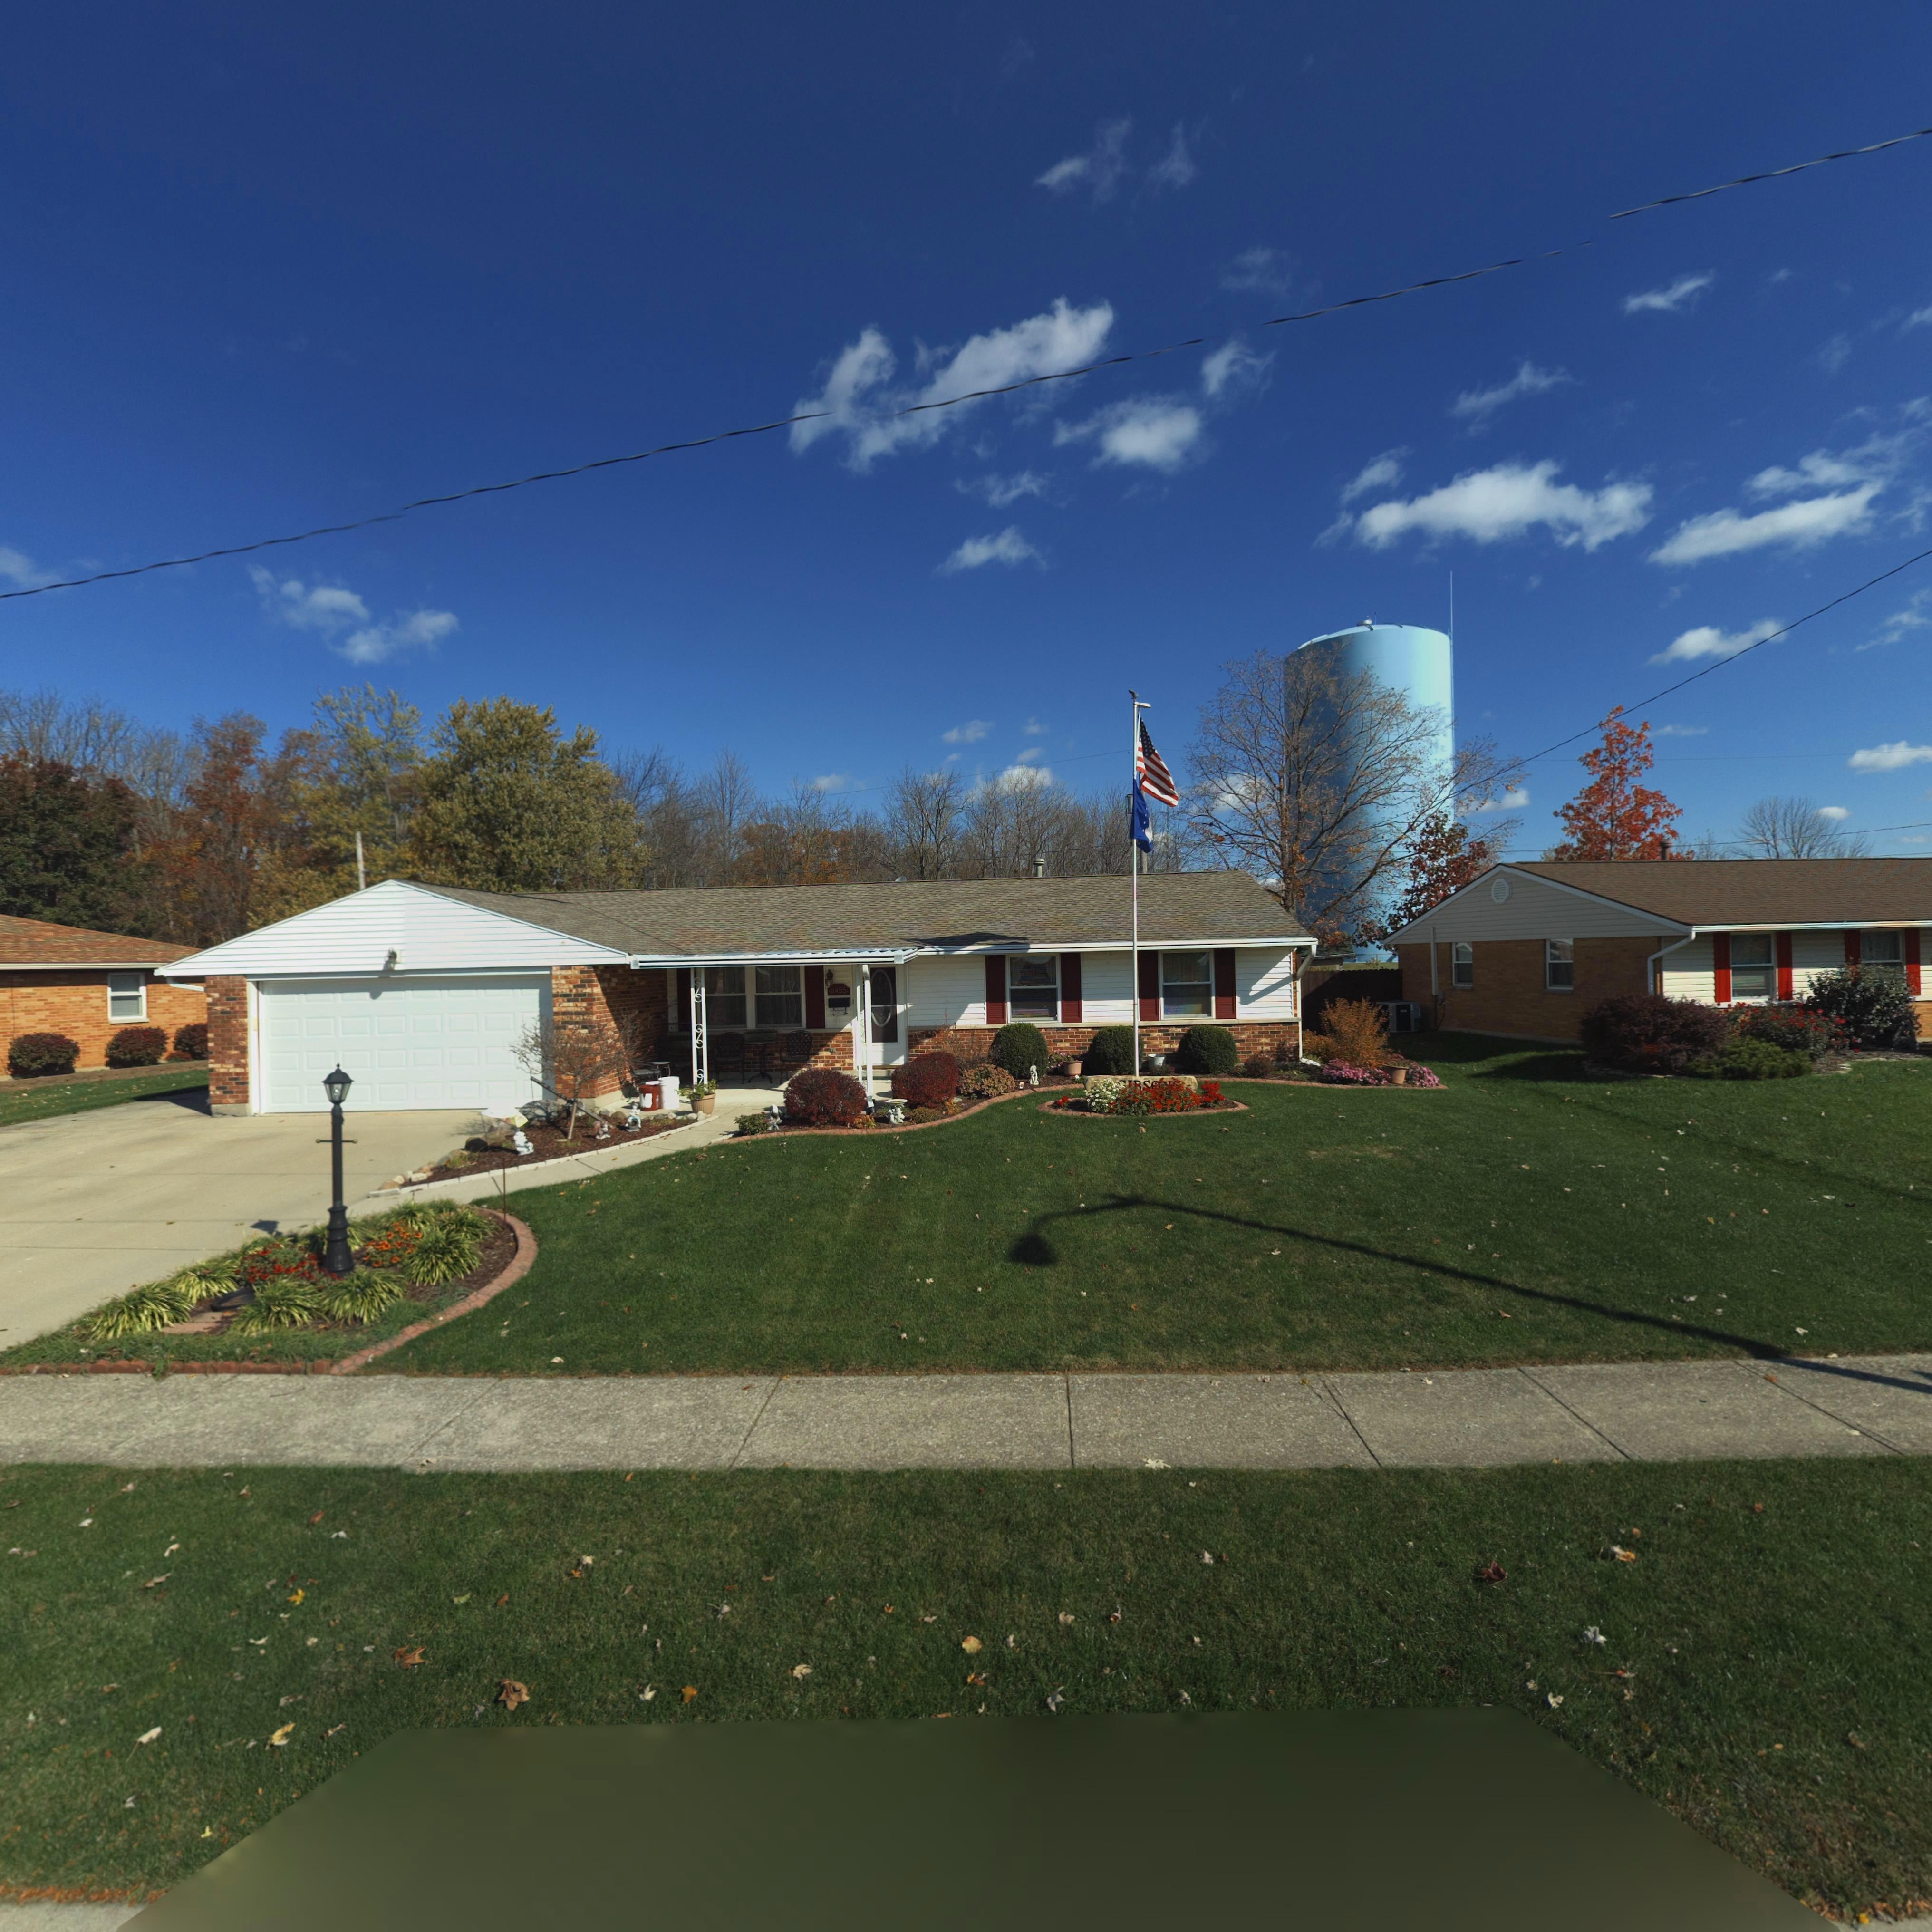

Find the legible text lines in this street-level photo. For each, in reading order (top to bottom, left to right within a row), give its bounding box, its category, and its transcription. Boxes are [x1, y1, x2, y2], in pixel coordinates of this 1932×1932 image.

[830, 986, 847, 994] StreetNumber: 6455